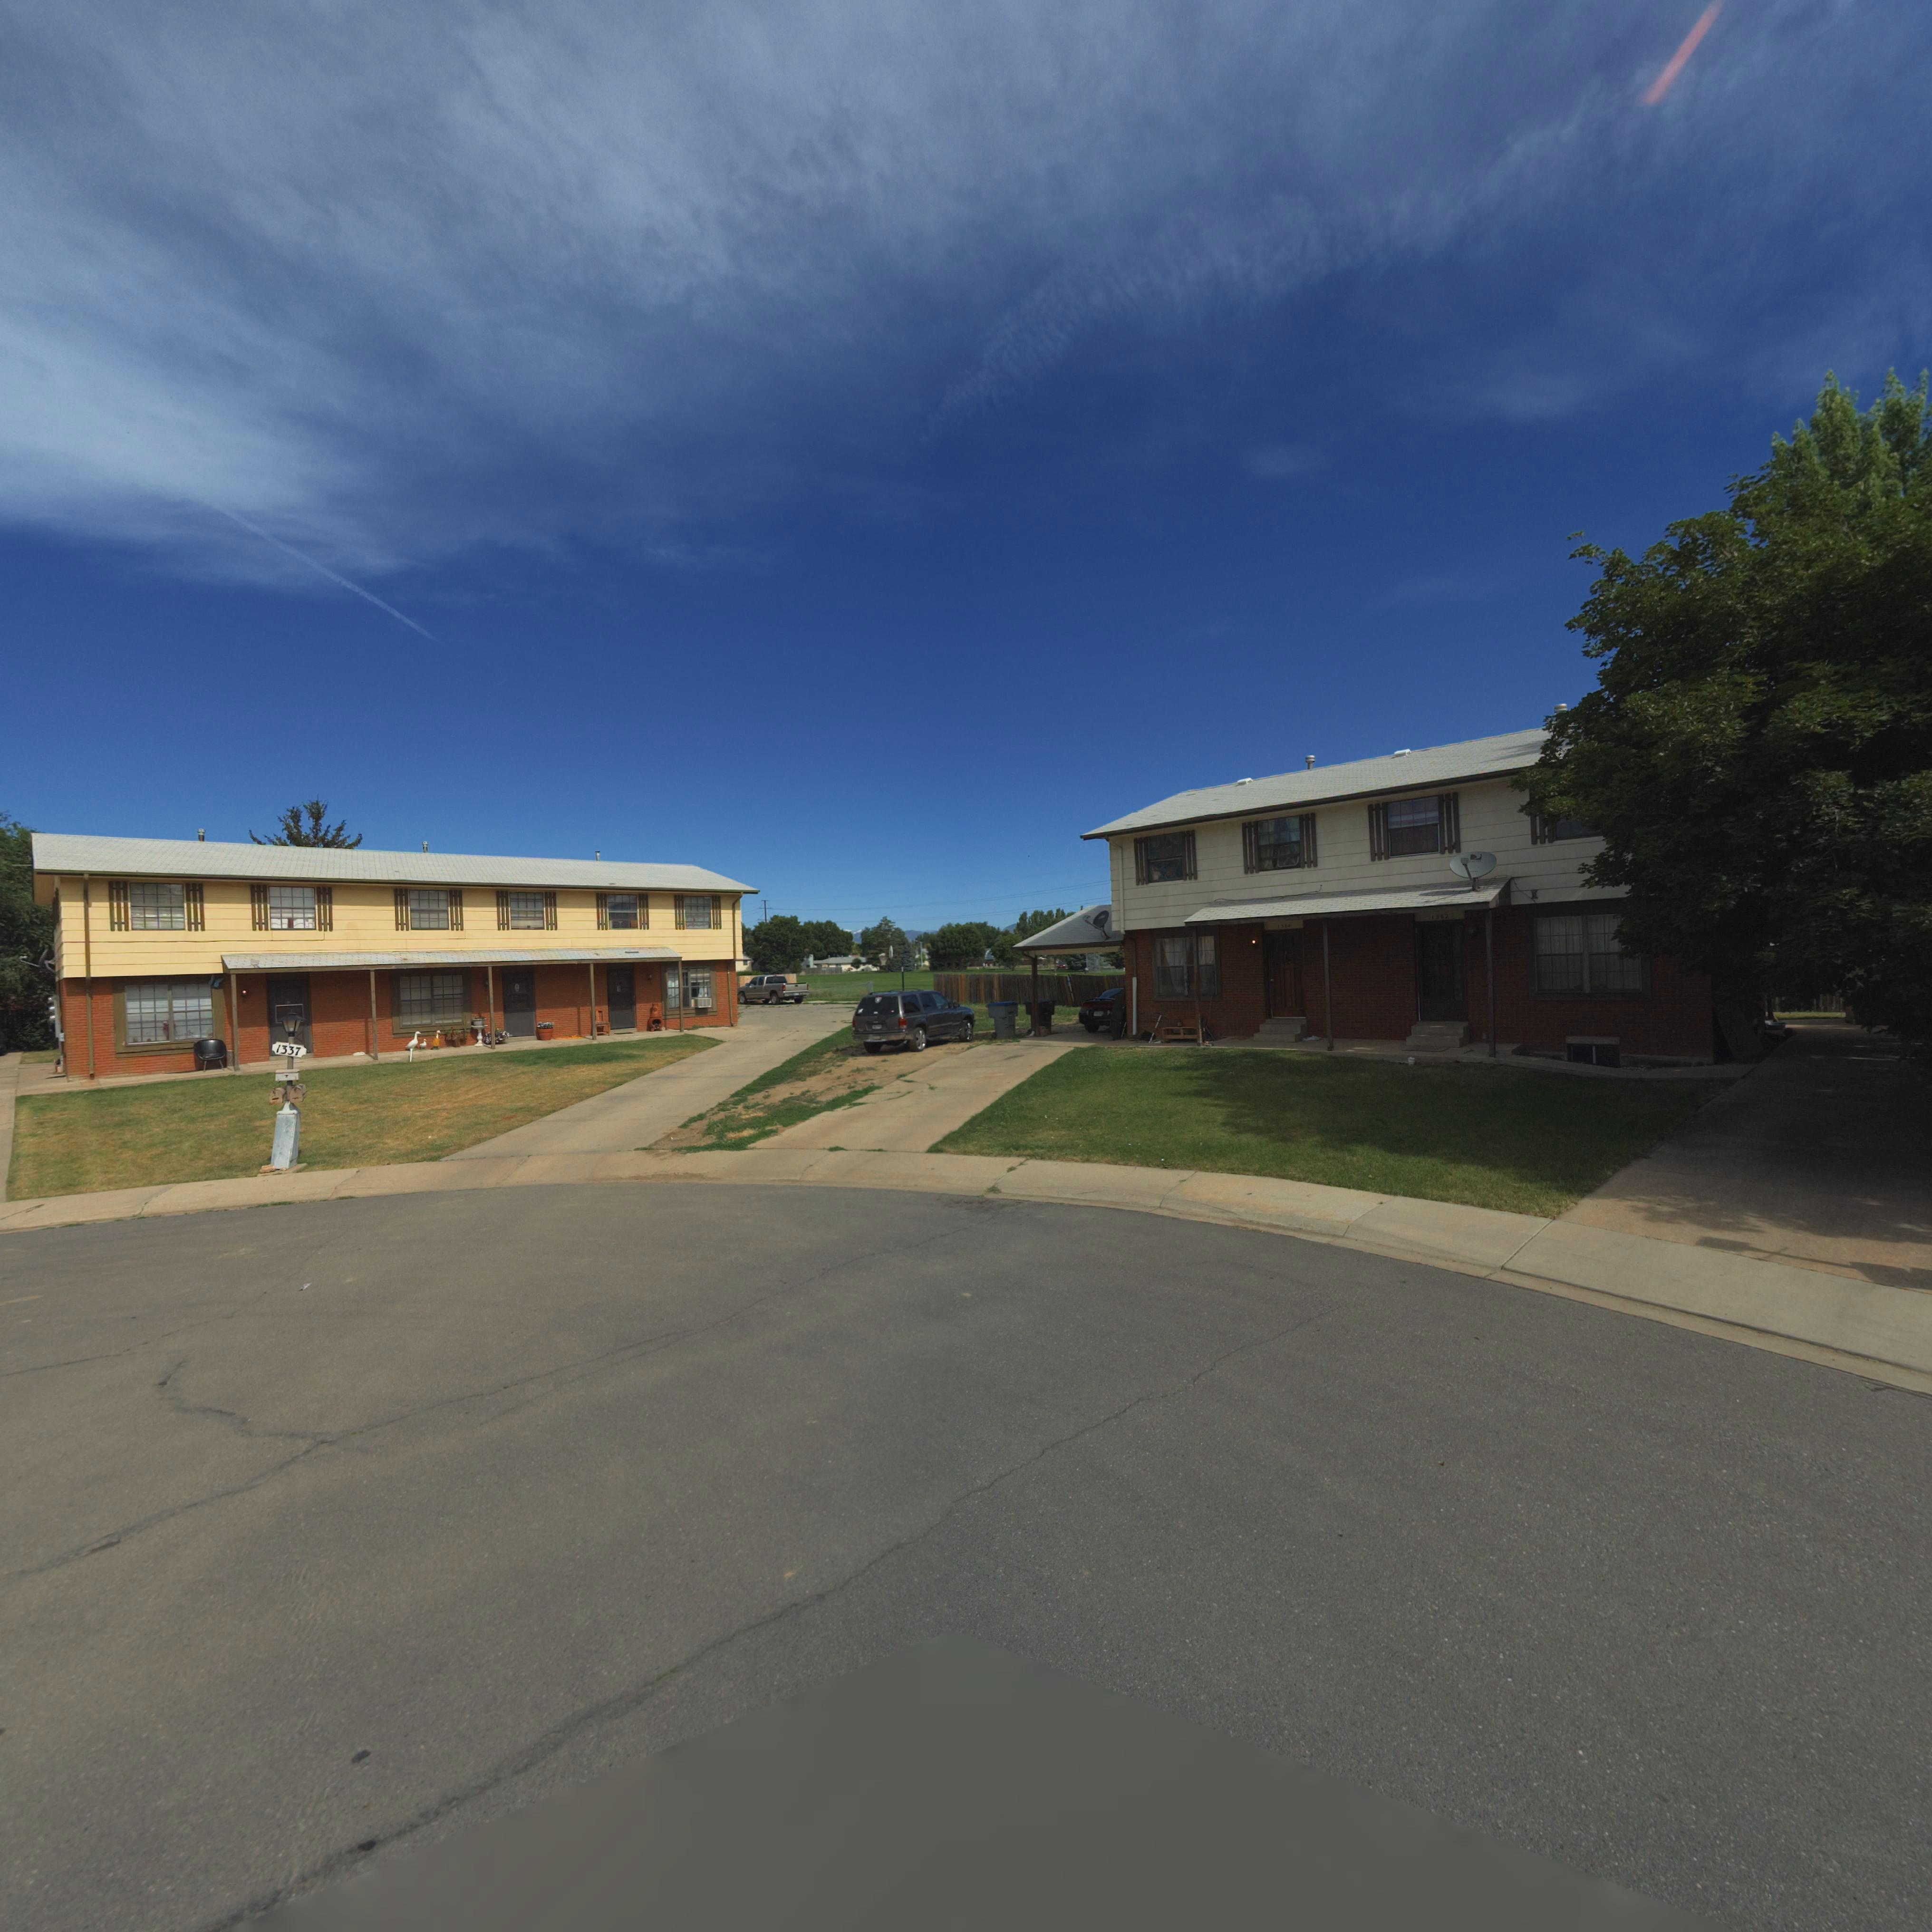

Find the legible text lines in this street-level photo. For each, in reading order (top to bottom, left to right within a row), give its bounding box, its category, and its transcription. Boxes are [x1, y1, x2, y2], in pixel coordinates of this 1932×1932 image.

[1431, 913, 1448, 920] StreetNumber: 1362
[1277, 923, 1290, 928] StreetNumber: 136*
[276, 1044, 301, 1056] StreetNumber: 1337